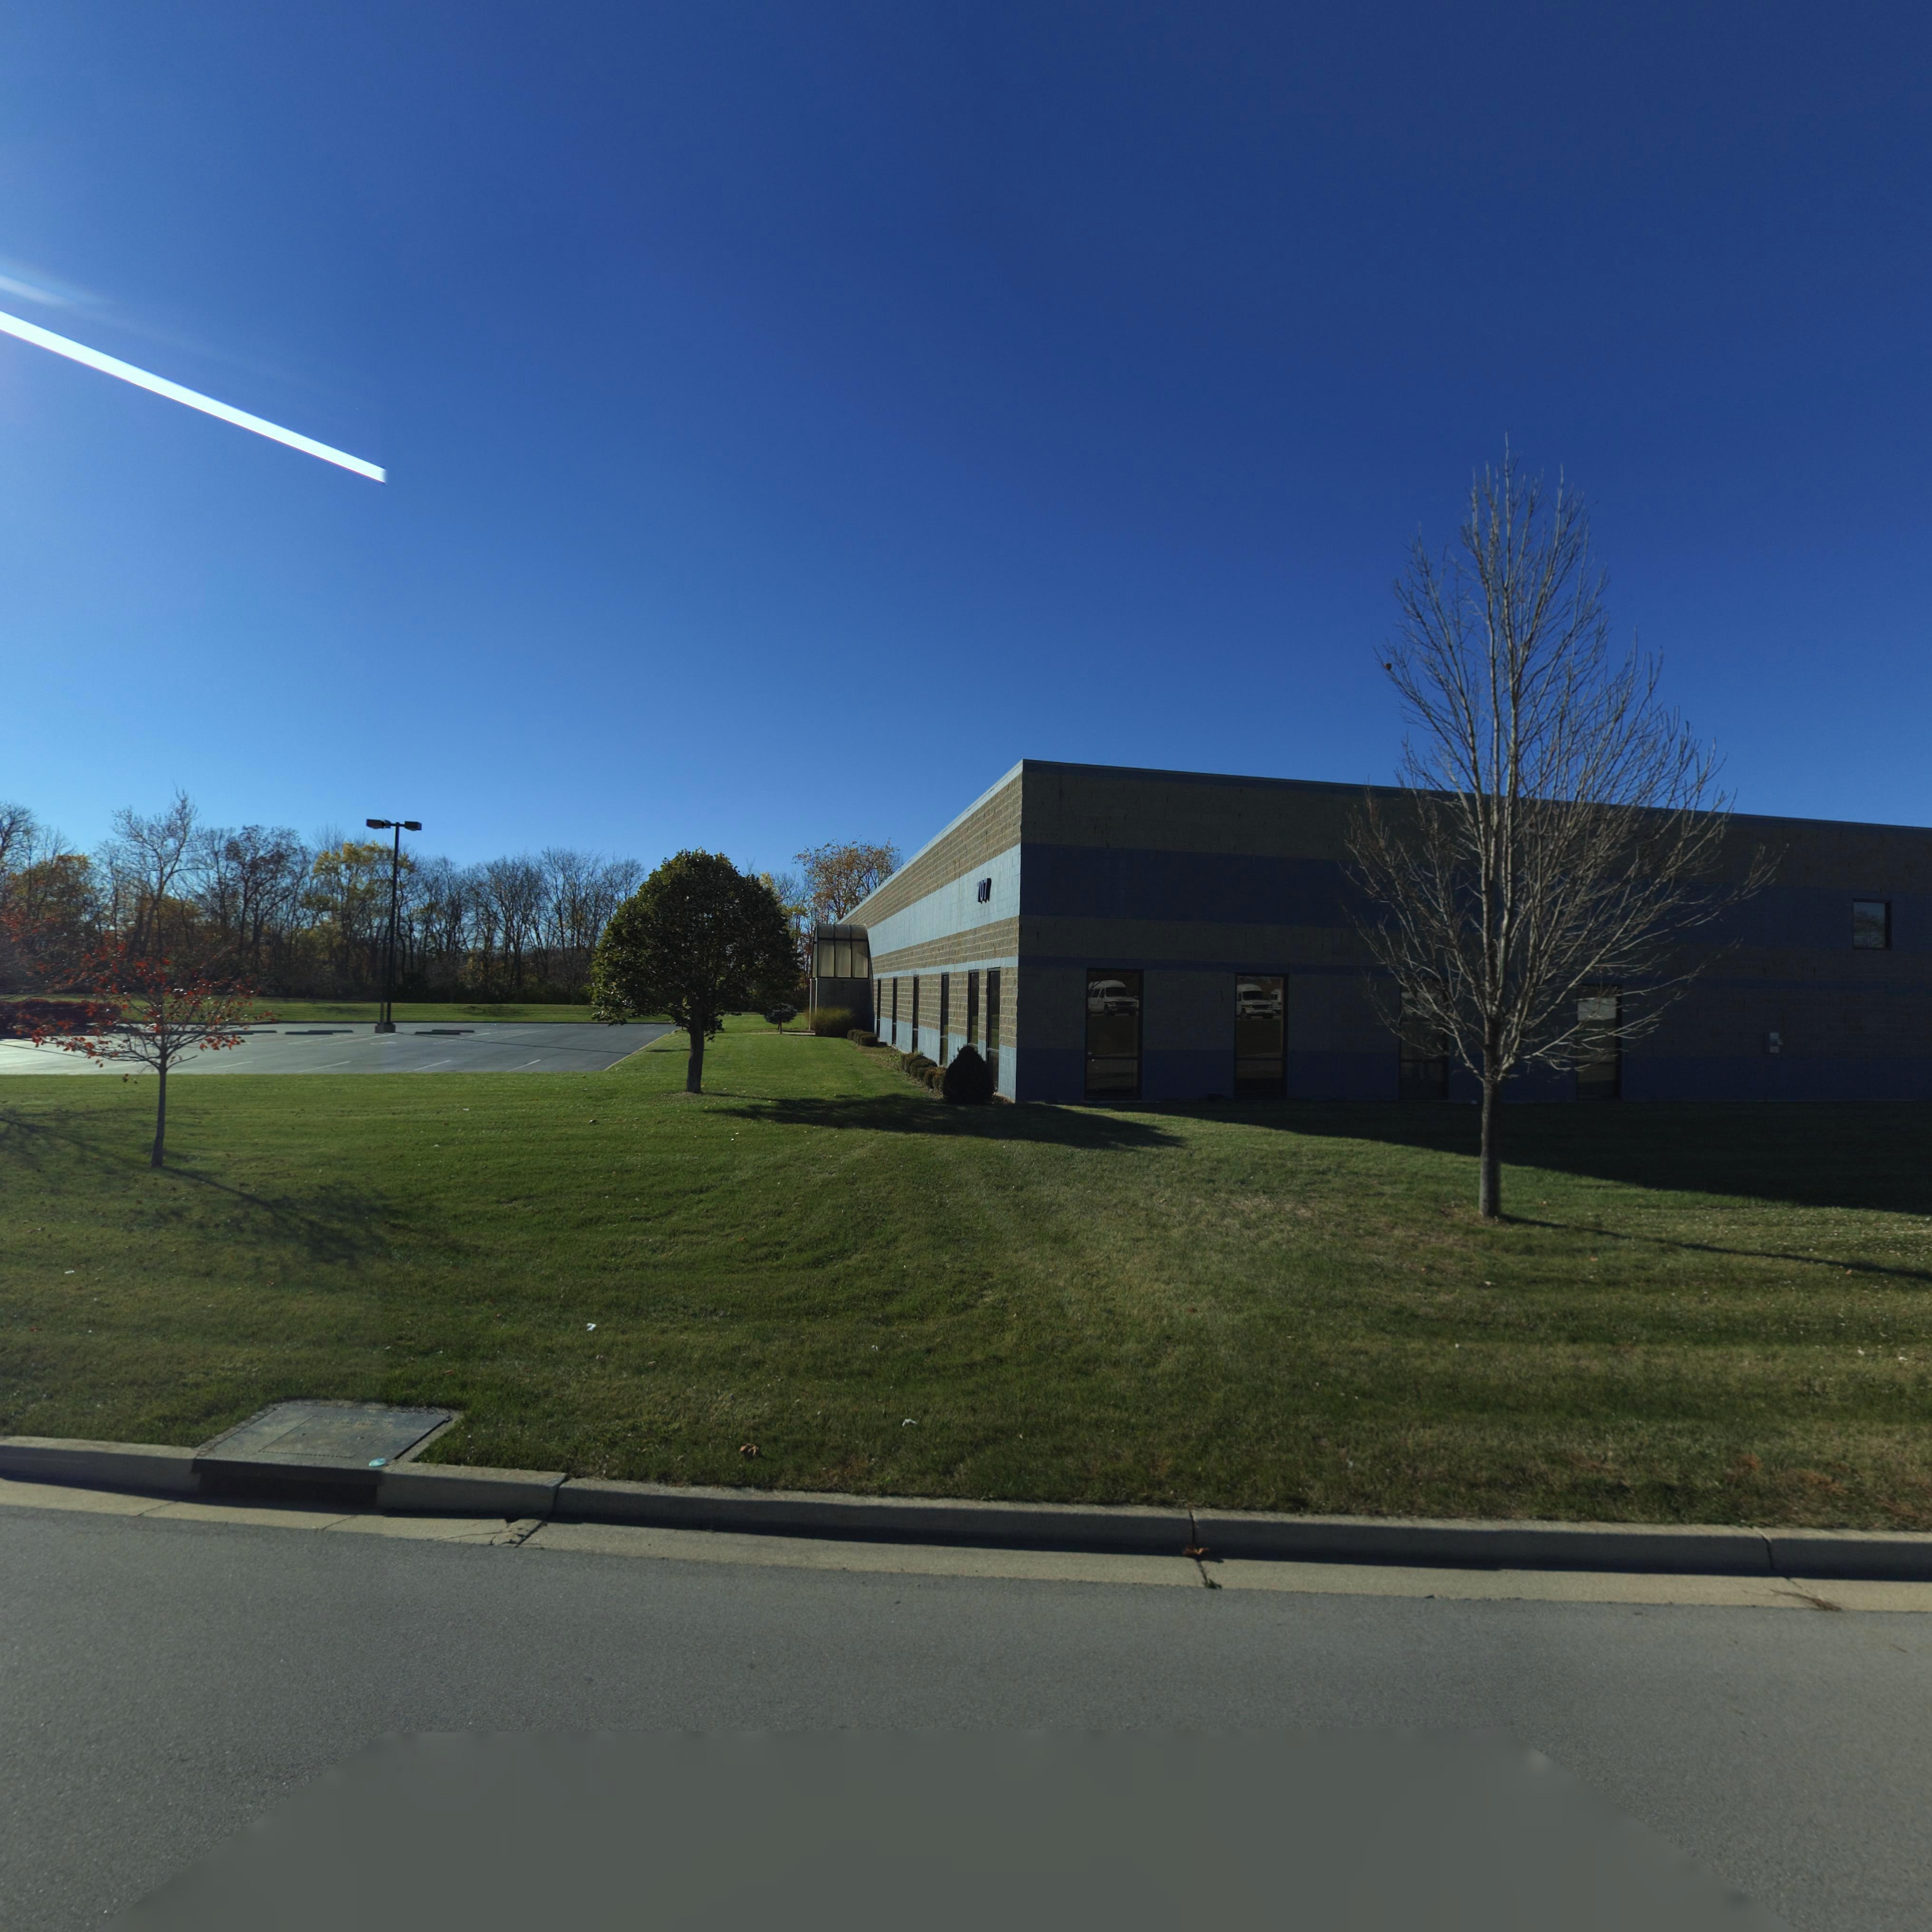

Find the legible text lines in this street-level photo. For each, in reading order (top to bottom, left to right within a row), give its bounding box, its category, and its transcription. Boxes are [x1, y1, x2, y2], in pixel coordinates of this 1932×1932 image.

[976, 877, 988, 903] StreetNumber: 707